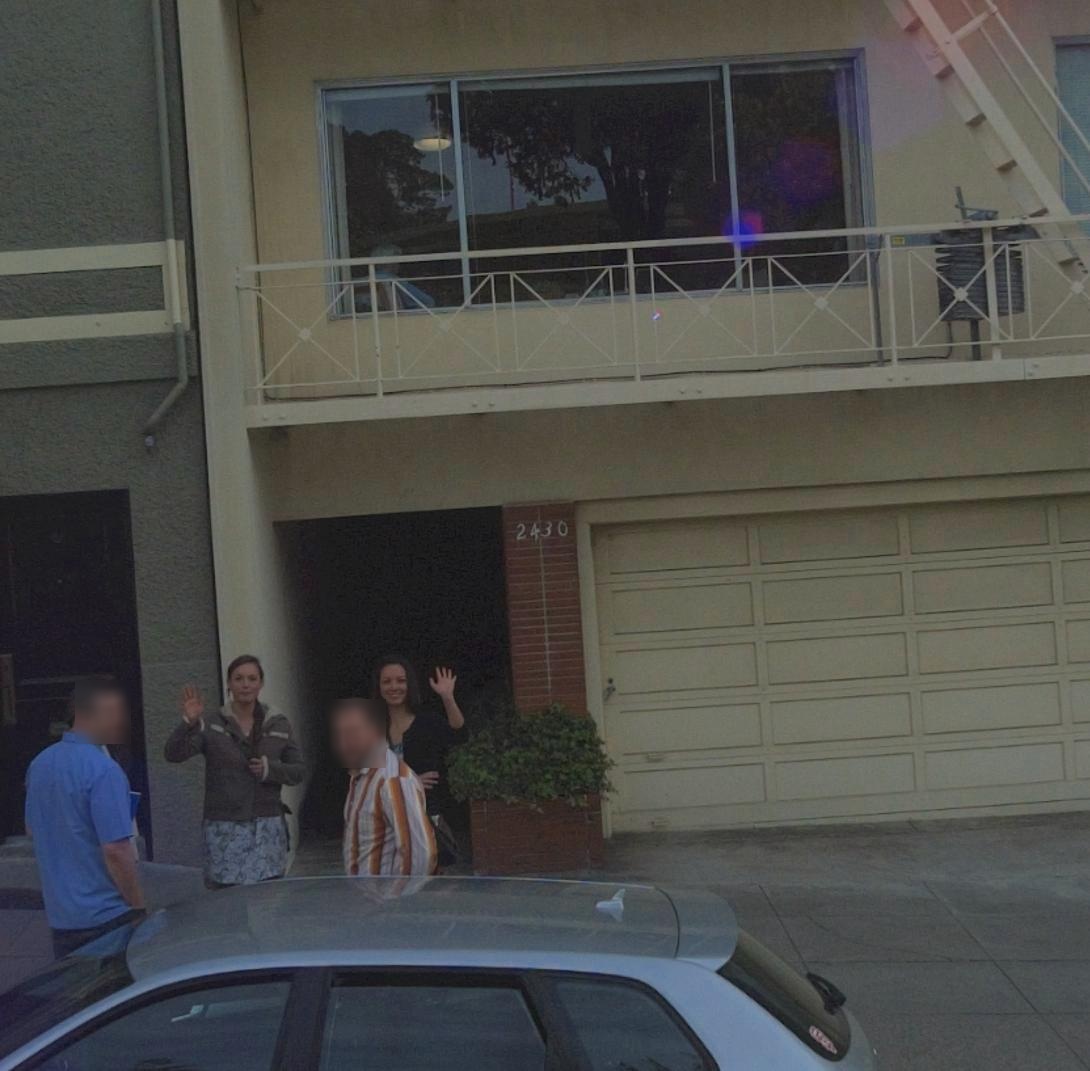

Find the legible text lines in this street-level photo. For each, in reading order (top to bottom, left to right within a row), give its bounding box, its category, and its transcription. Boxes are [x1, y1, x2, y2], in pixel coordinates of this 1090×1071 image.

[513, 516, 571, 544] StreetNumber: 2430